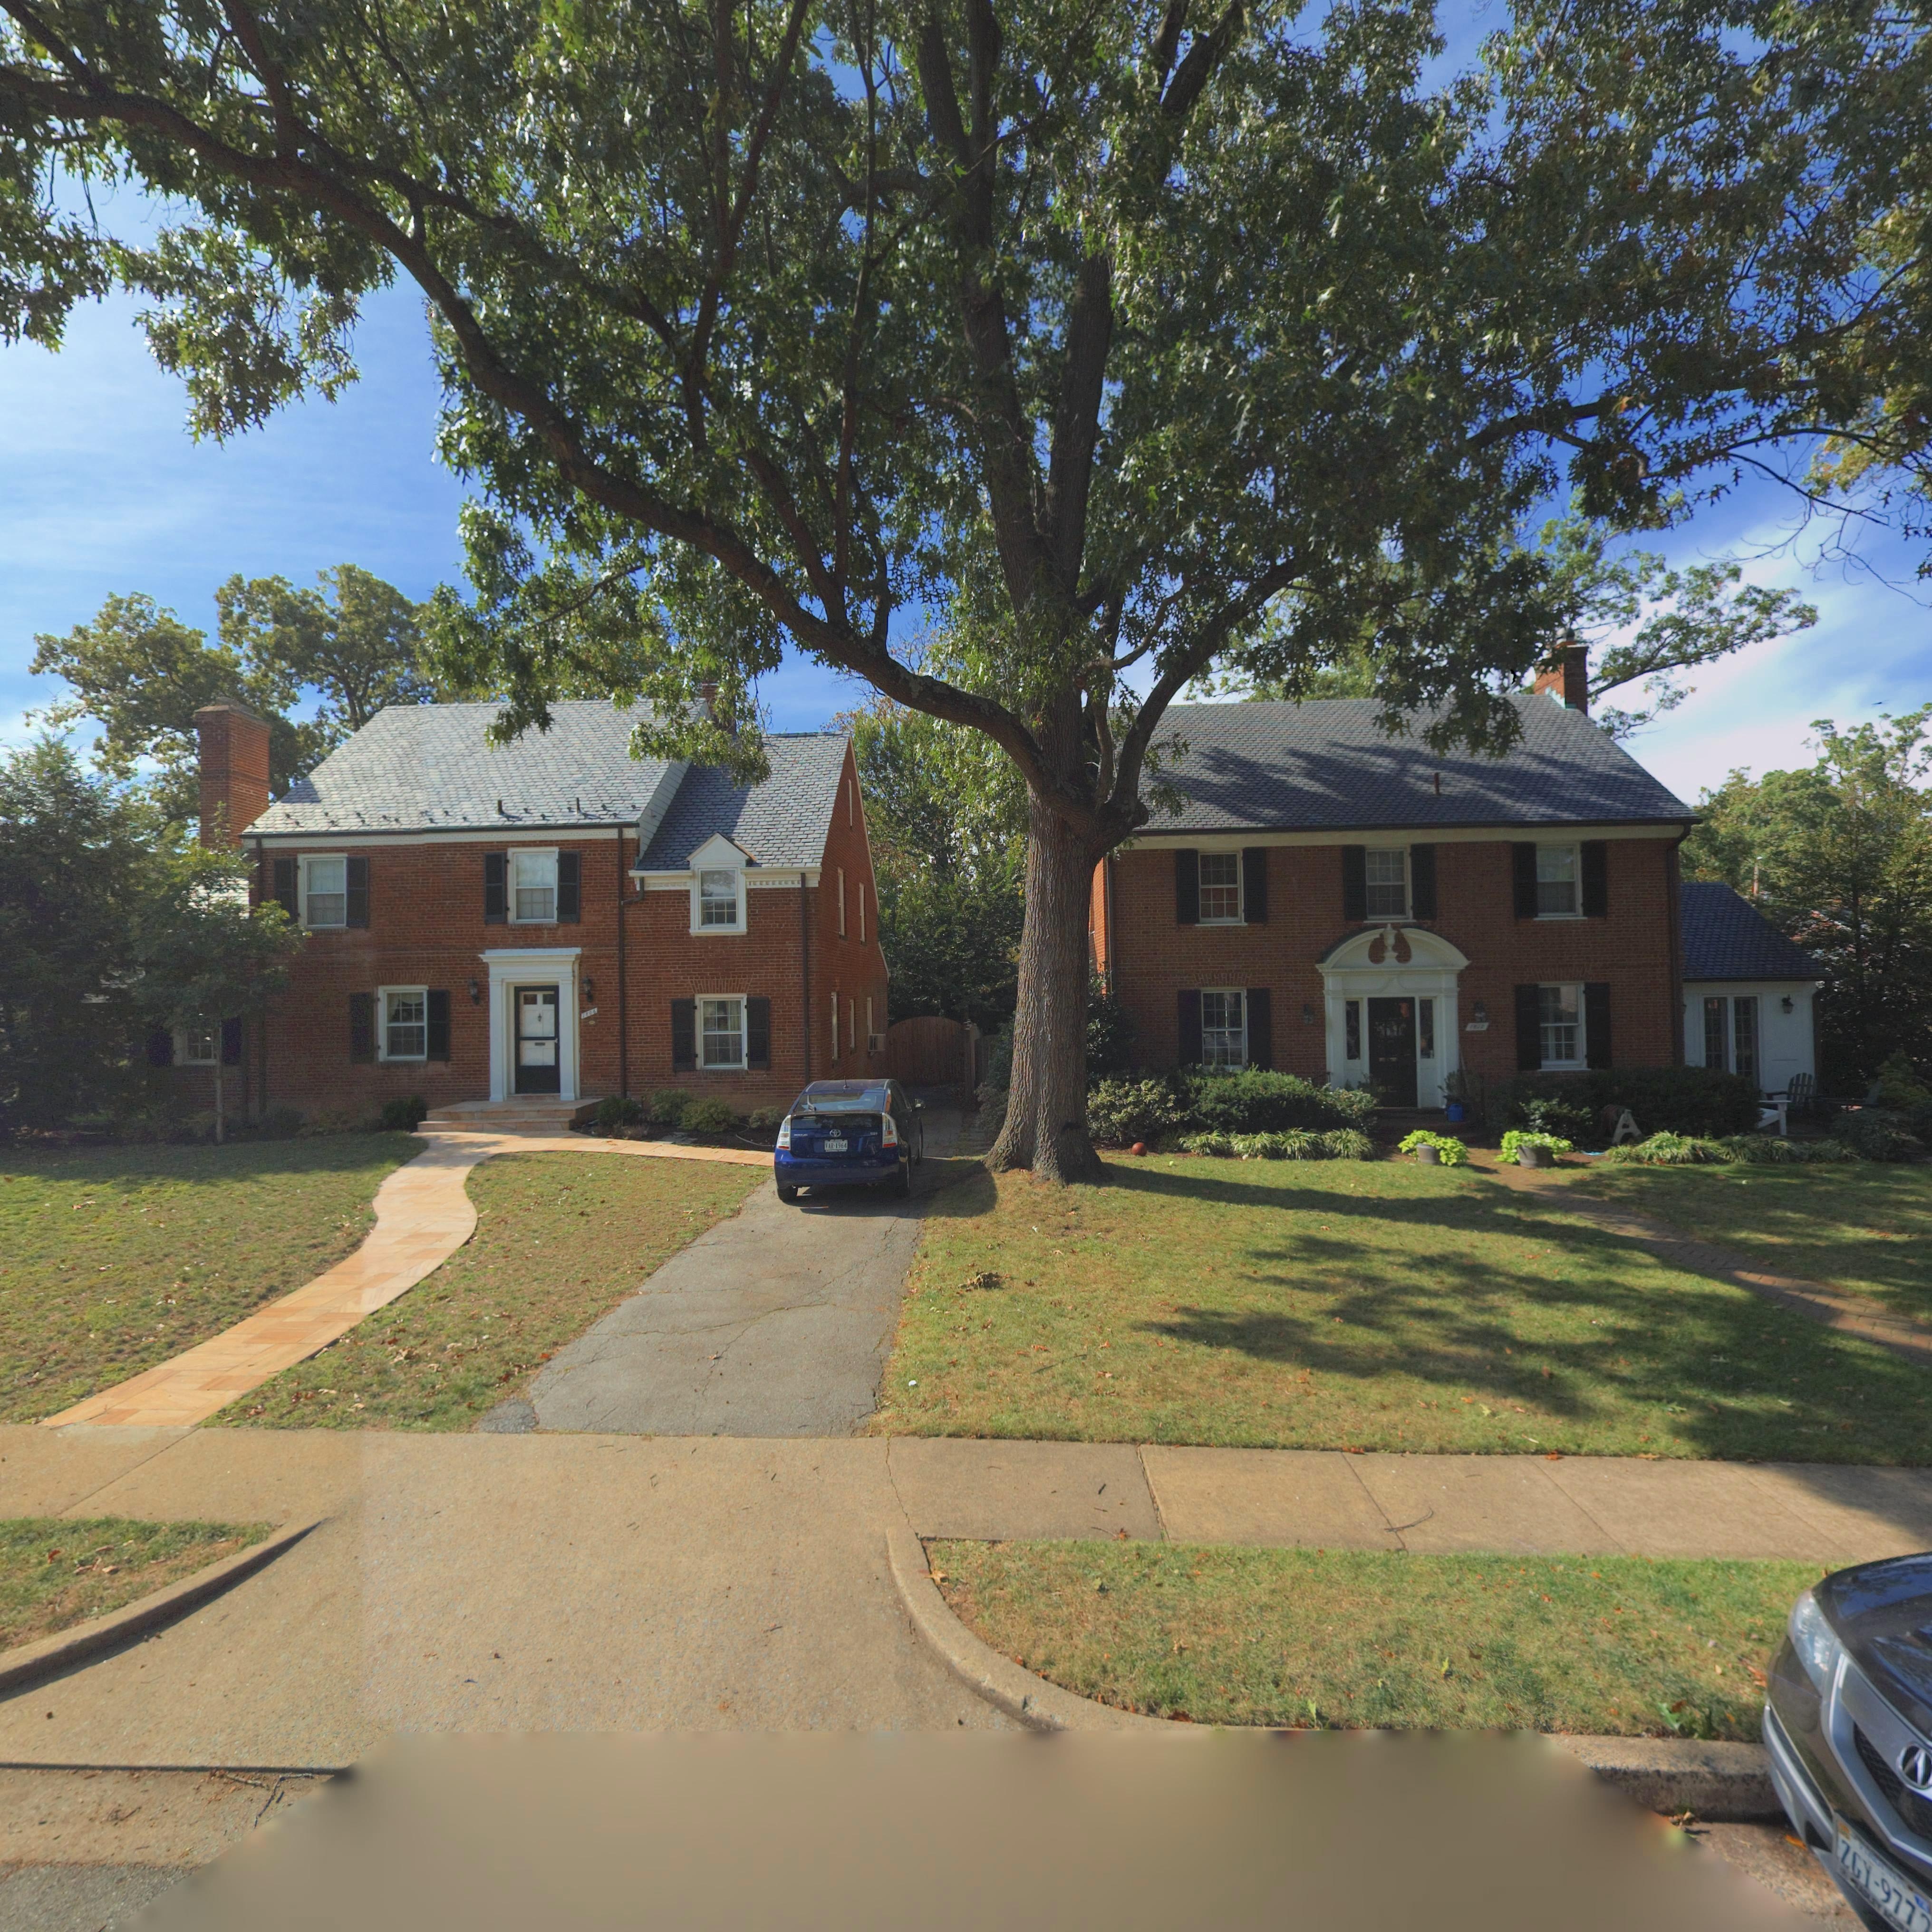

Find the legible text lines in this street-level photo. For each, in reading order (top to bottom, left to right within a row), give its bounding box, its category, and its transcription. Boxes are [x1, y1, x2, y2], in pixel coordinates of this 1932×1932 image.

[824, 1141, 848, 1150] None: V*R-1964